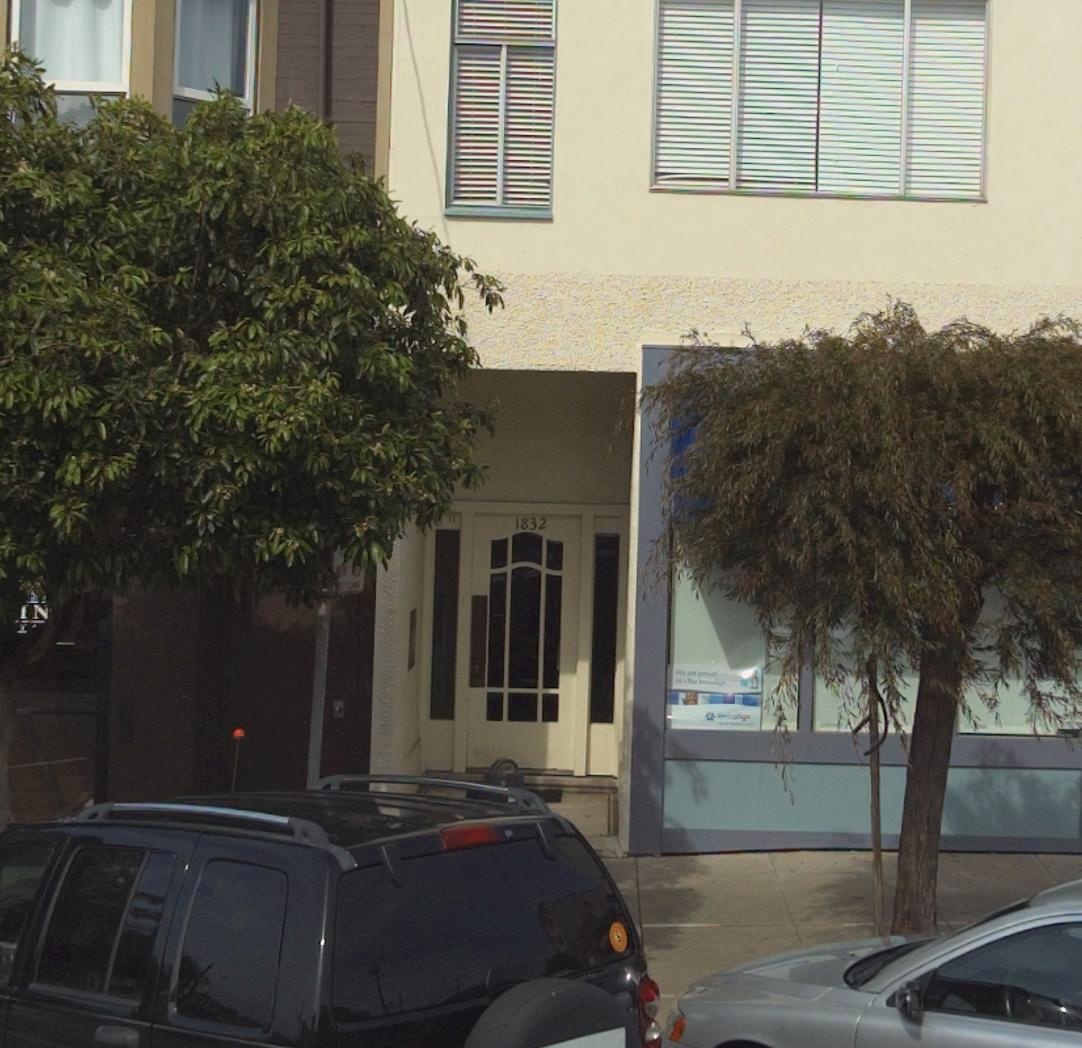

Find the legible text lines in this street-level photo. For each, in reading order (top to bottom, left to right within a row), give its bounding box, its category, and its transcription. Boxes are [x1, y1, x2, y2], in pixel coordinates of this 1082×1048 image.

[514, 516, 549, 532] StreetNumber: 1832
[18, 603, 50, 621] None: IN